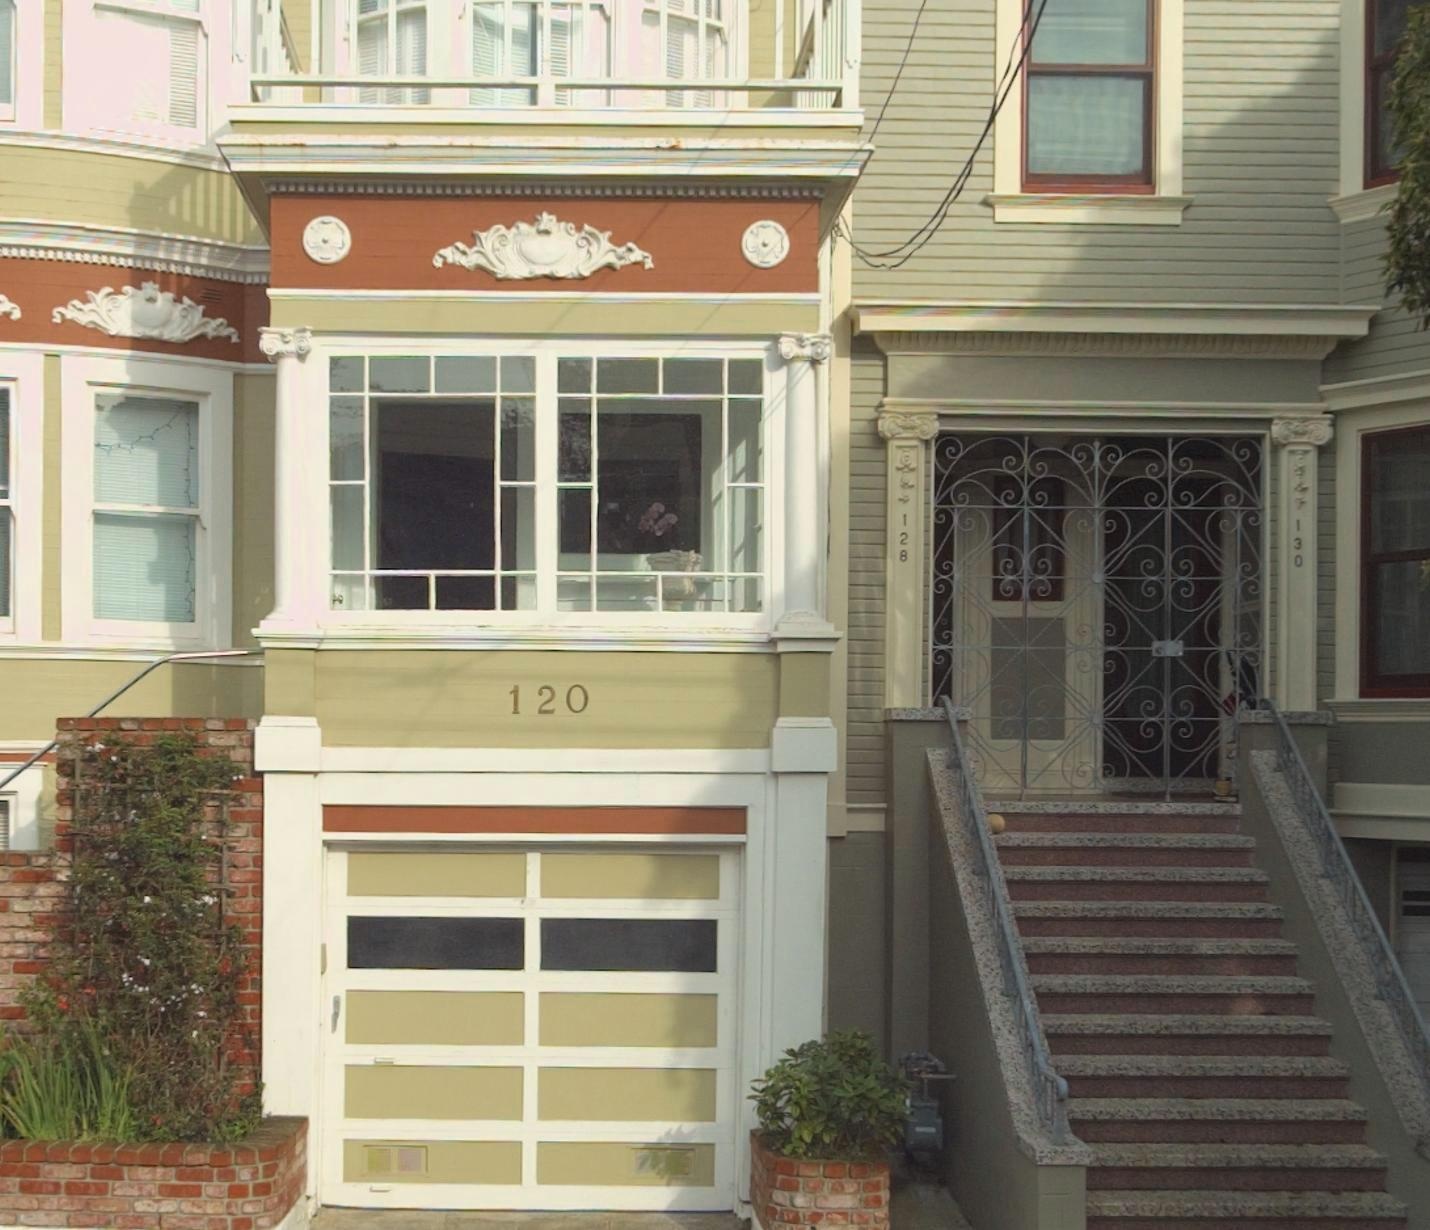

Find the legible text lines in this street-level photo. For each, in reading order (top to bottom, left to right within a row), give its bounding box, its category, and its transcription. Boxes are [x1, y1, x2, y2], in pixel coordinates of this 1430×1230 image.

[899, 513, 909, 563] StreetNumber: 128
[1293, 518, 1303, 568] StreetNumber: 130
[509, 683, 589, 715] StreetNumber: 120